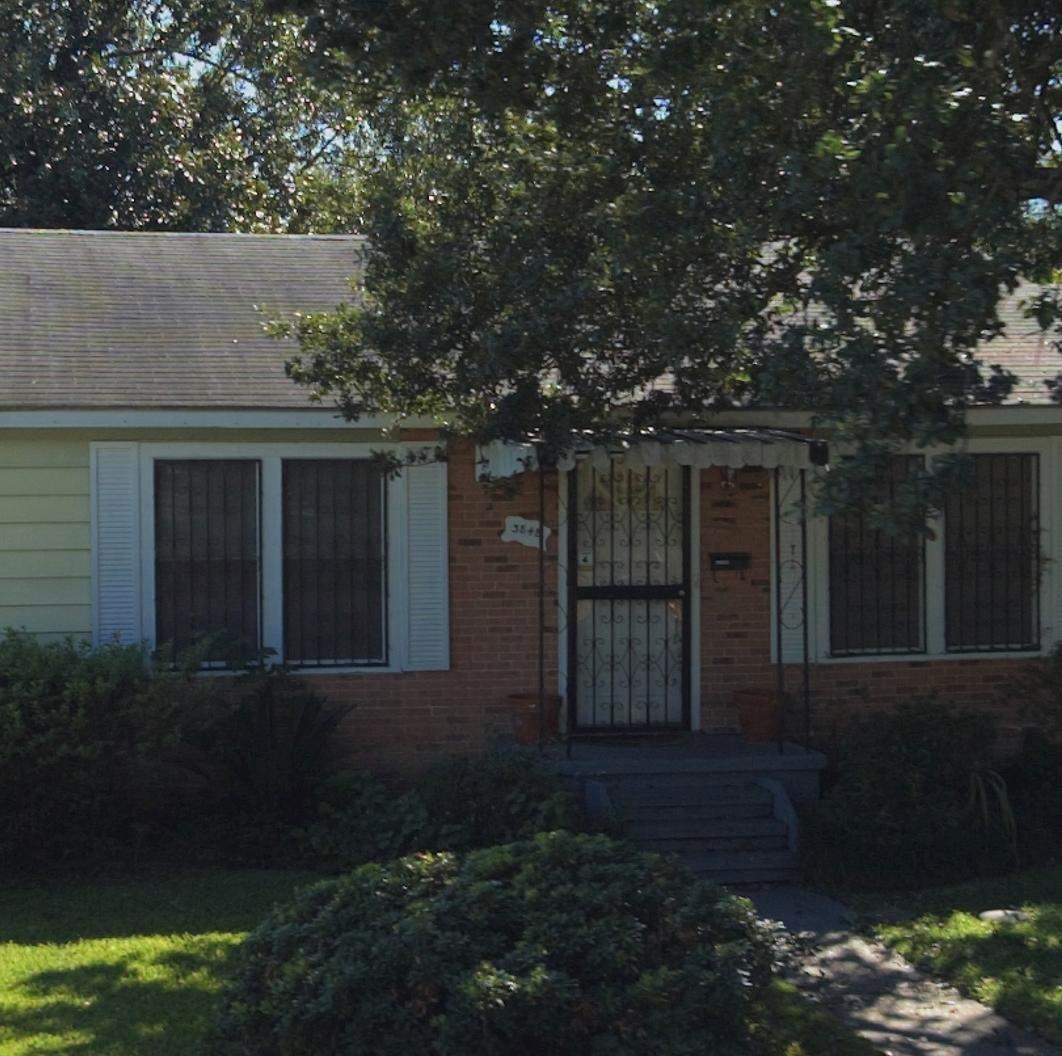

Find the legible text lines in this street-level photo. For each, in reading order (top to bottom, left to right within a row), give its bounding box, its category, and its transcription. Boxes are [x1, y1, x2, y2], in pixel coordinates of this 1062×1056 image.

[509, 520, 544, 539] StreetNumber: 3848